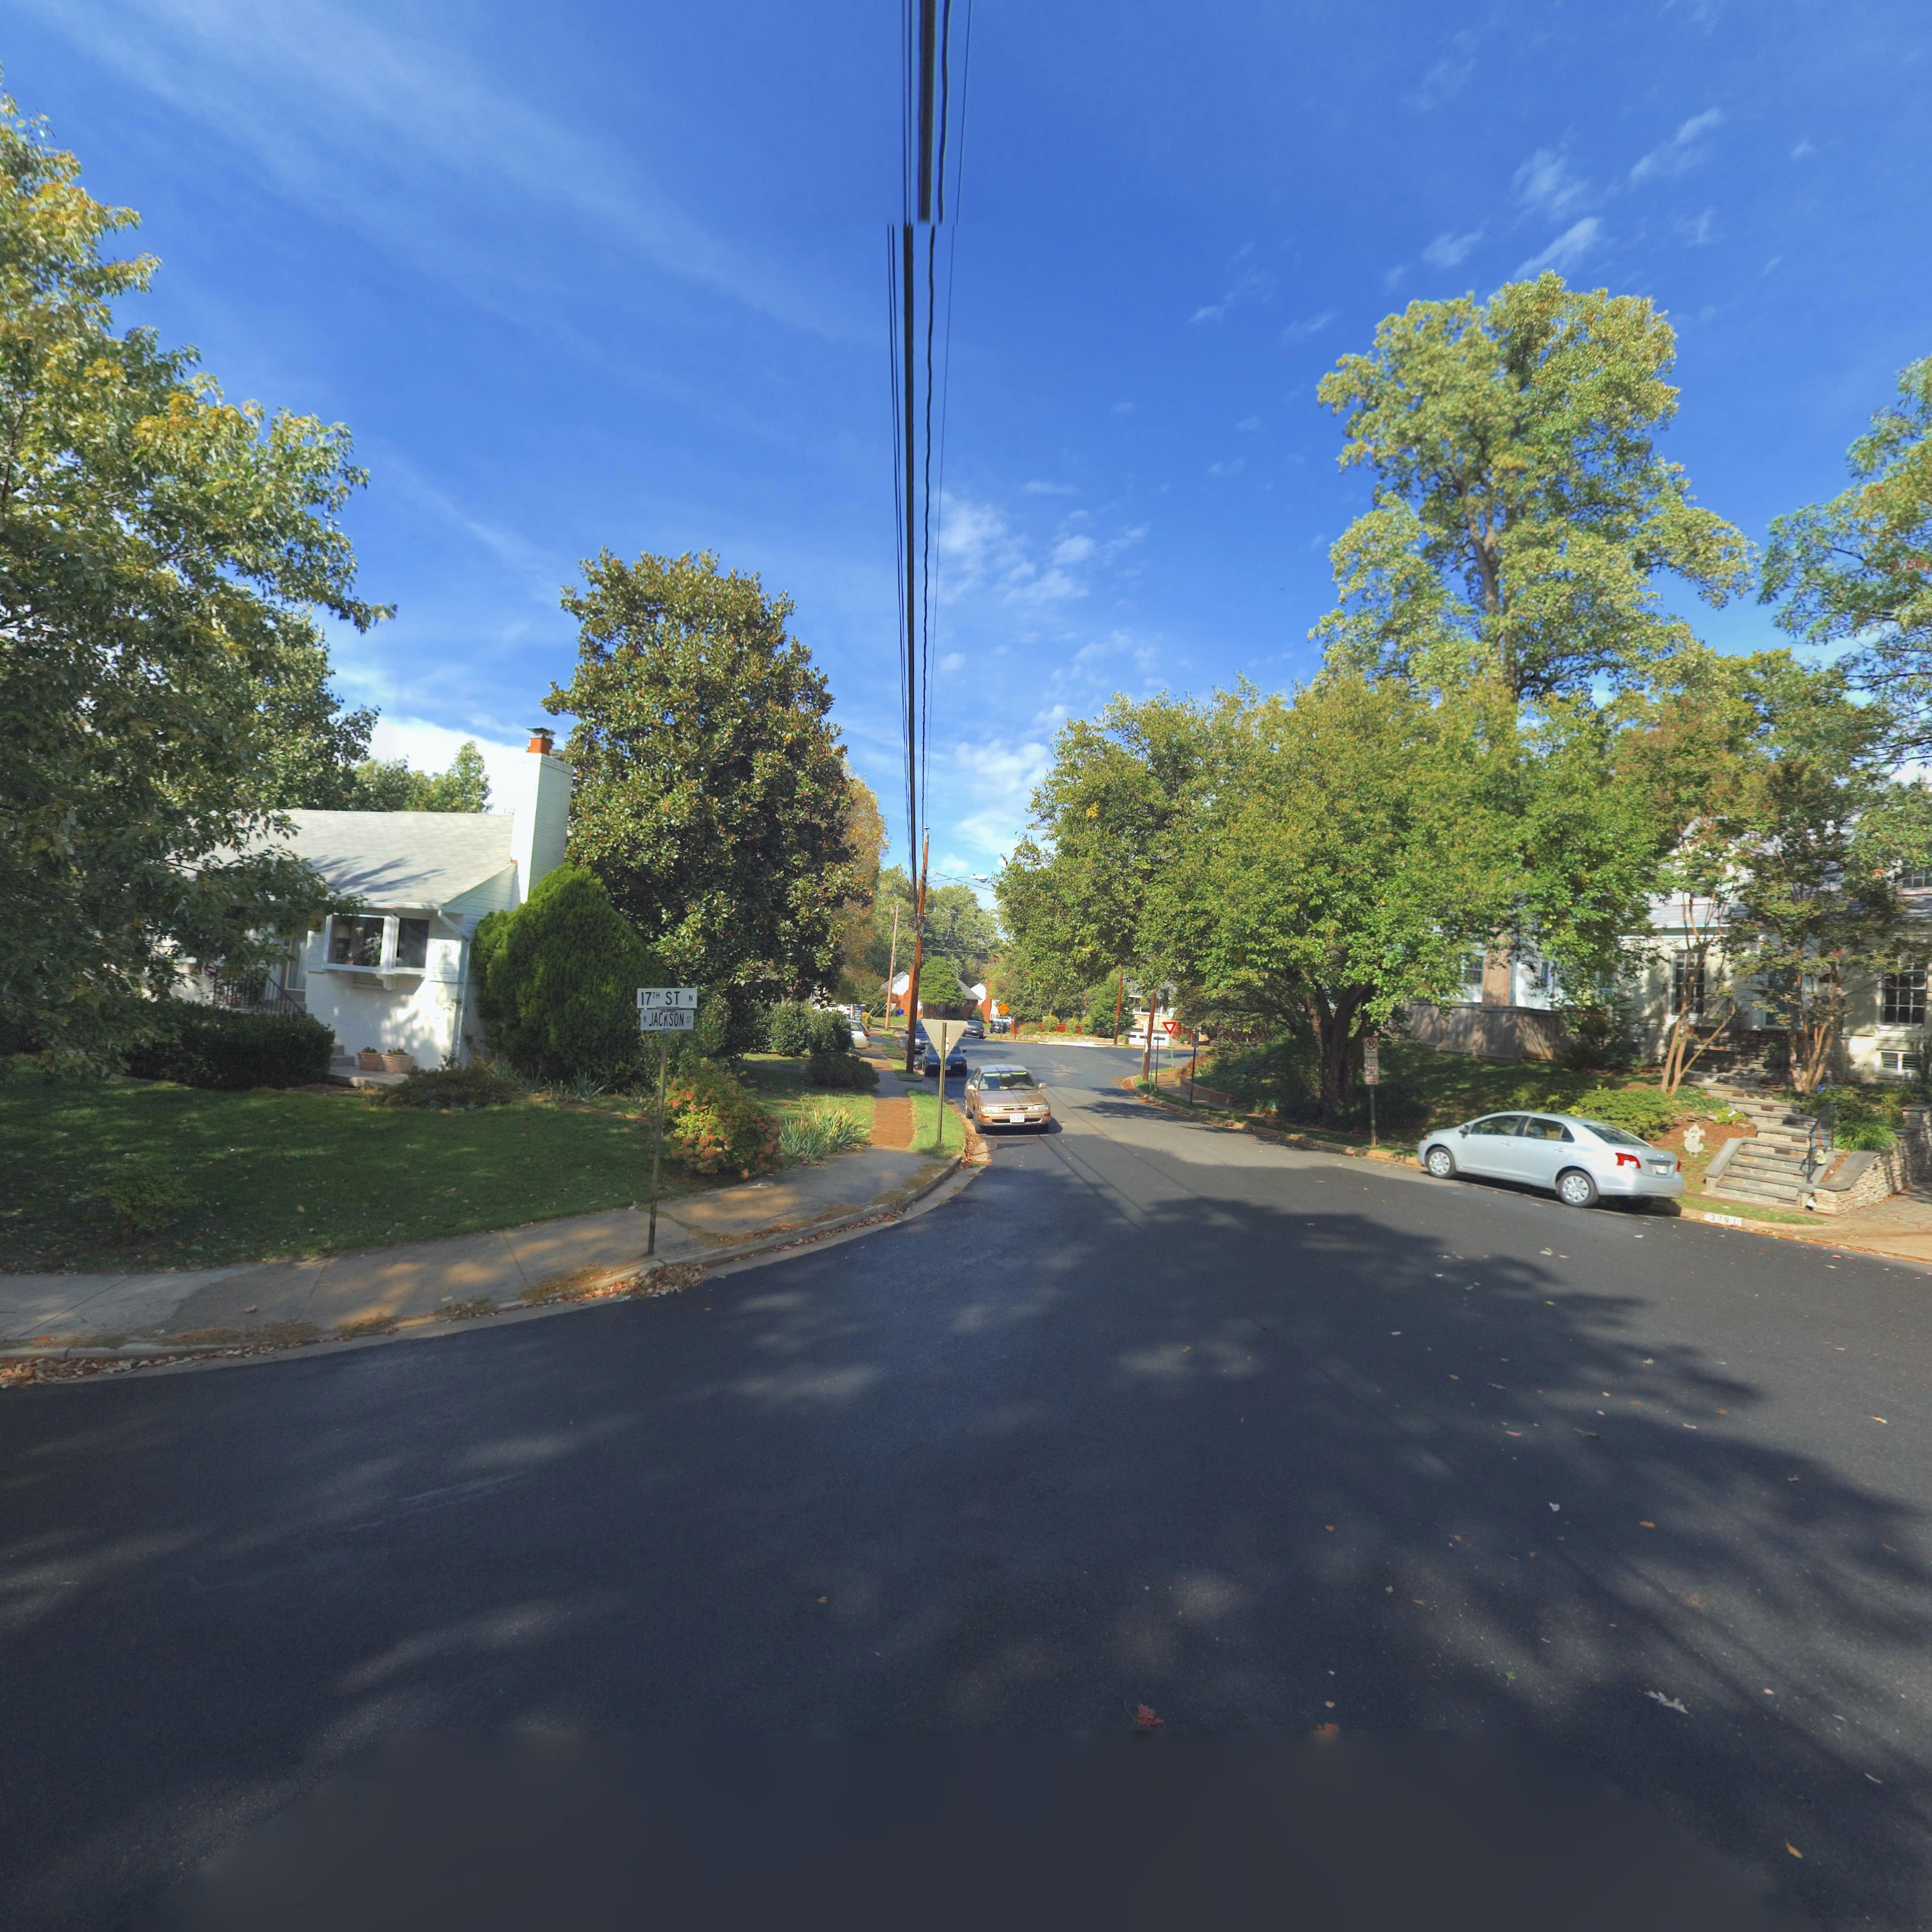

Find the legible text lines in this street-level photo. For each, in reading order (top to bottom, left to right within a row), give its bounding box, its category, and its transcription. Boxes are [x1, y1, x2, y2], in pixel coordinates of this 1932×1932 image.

[639, 990, 695, 1007] StreetName: 17TH ST N
[641, 1010, 694, 1028] StreetName: N JACKSON ST